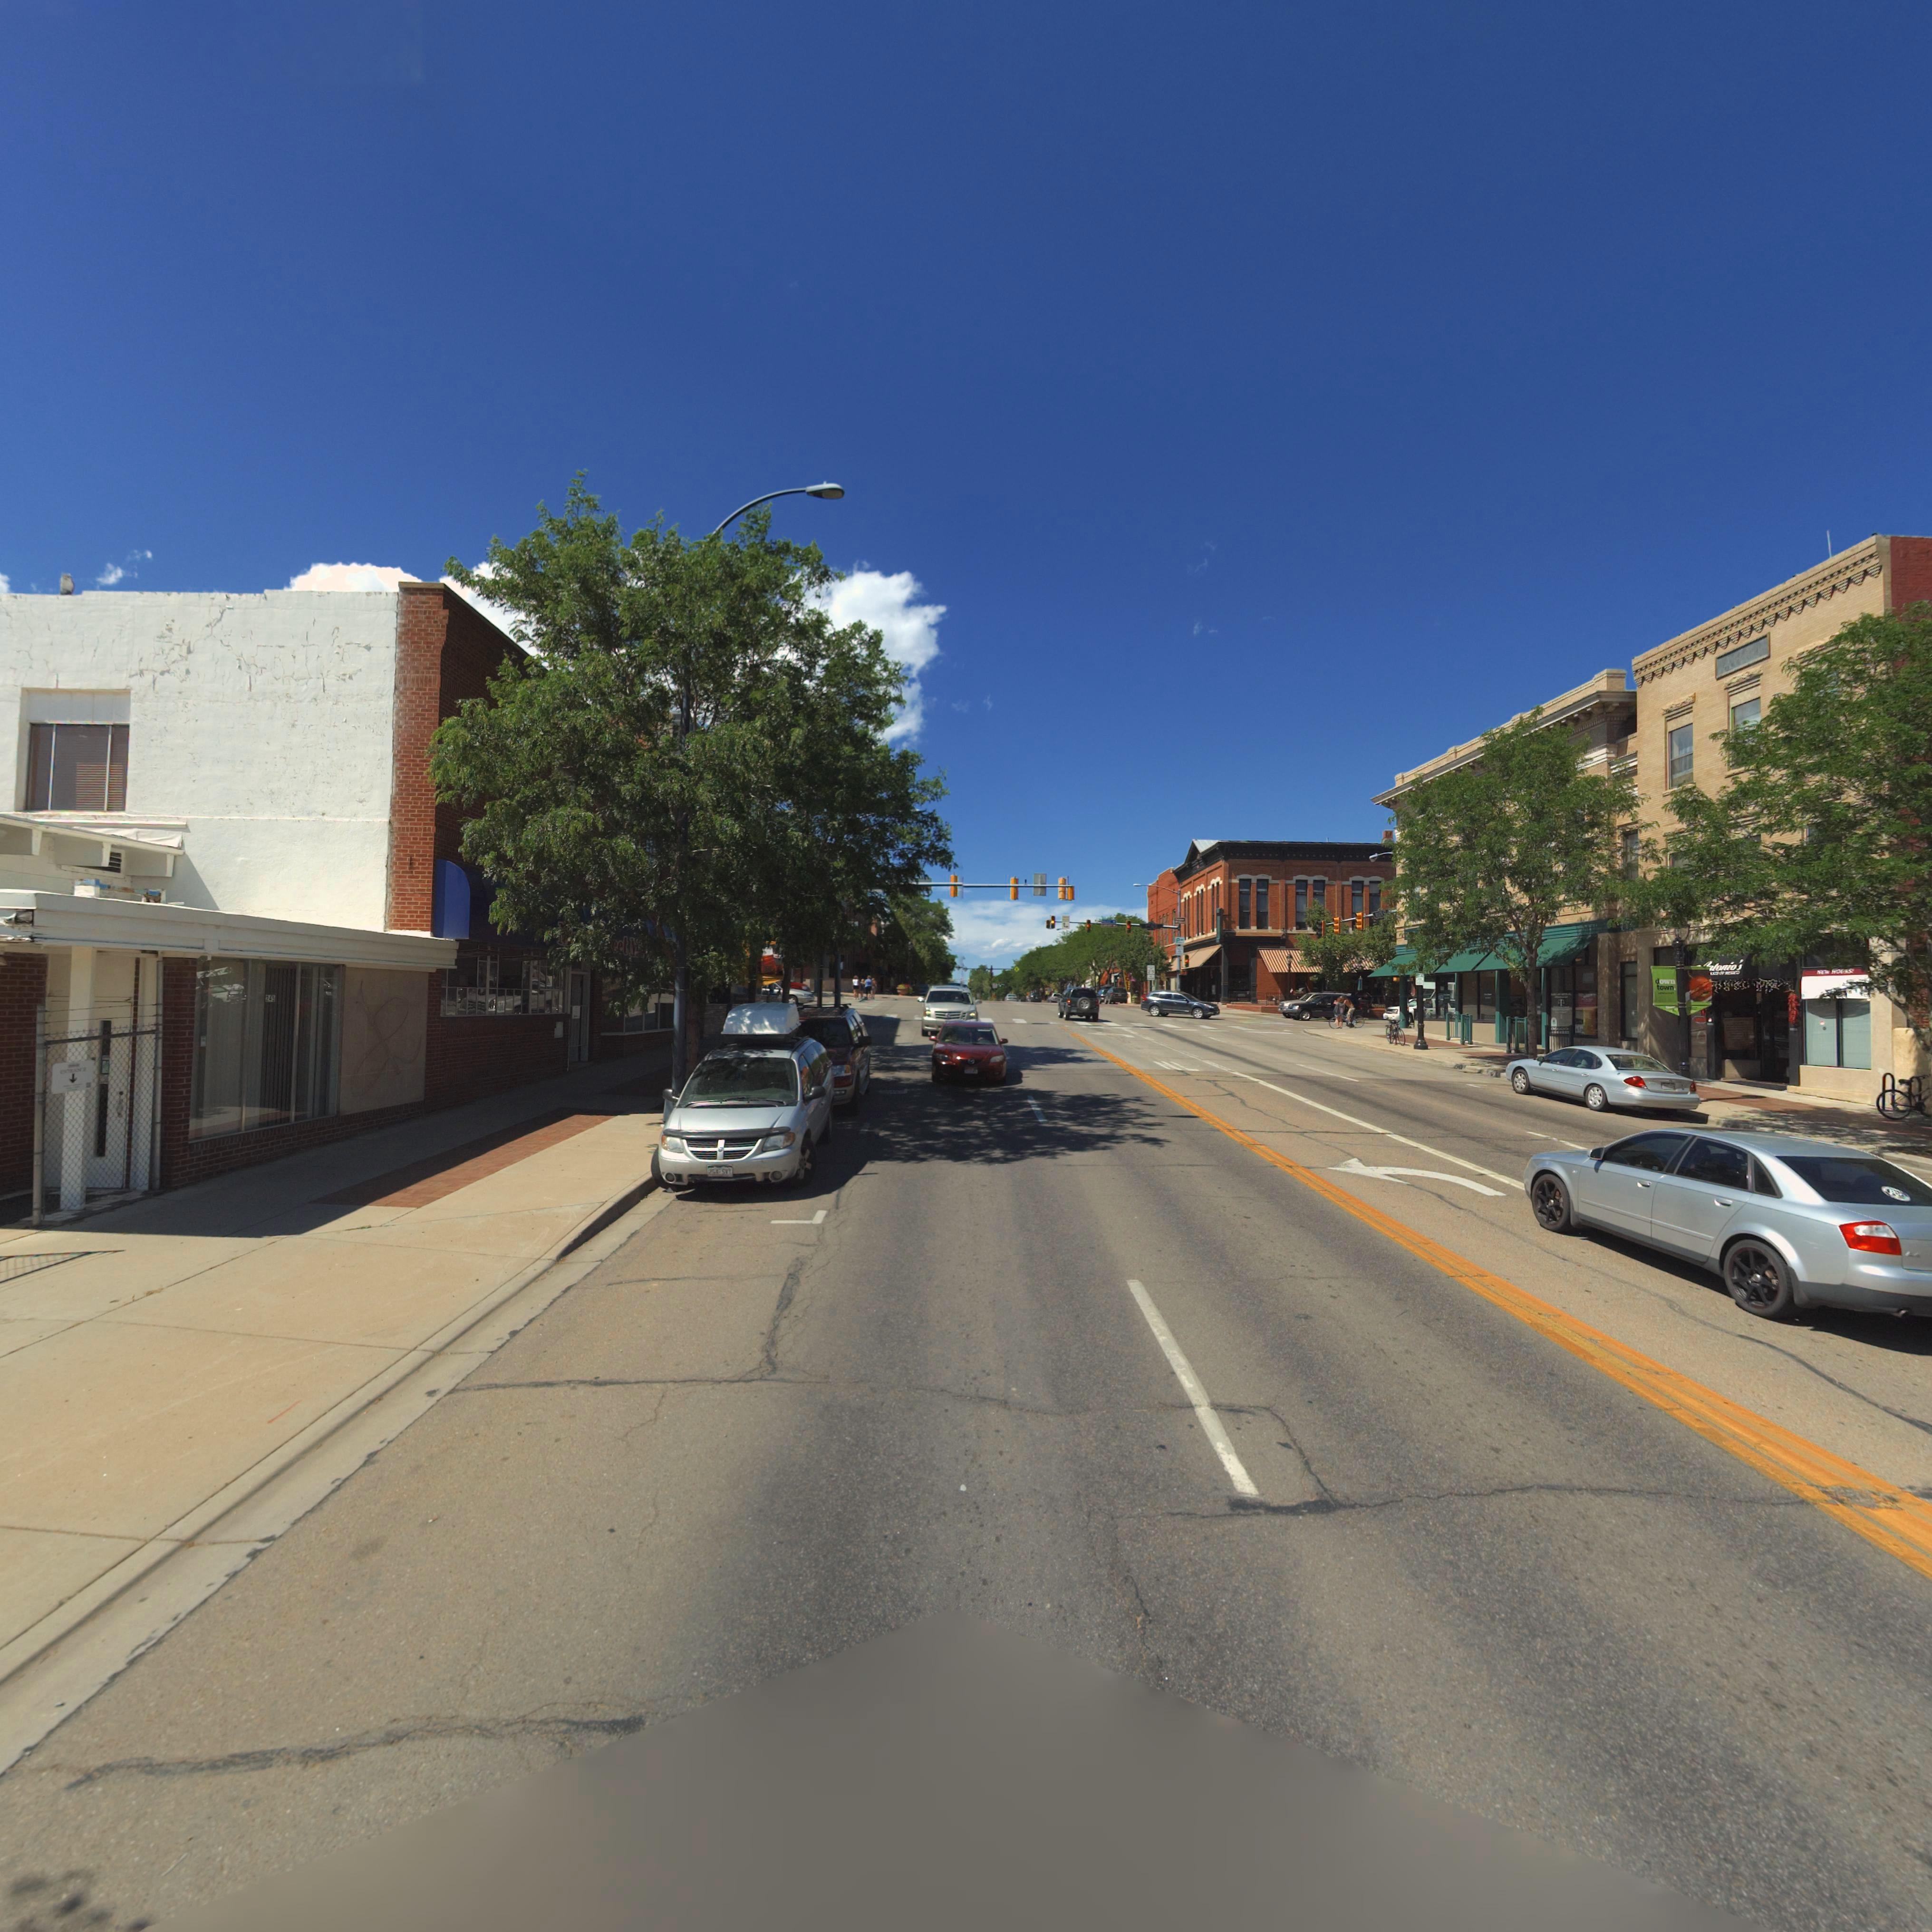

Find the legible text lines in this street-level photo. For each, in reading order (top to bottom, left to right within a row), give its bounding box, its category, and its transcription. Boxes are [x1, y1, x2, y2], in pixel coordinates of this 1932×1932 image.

[554, 920, 642, 958] BusinessName: **** ***eet M
[1690, 958, 1744, 972] BusinessName: **tonio's
[265, 995, 275, 1002] StreetNumber: 245